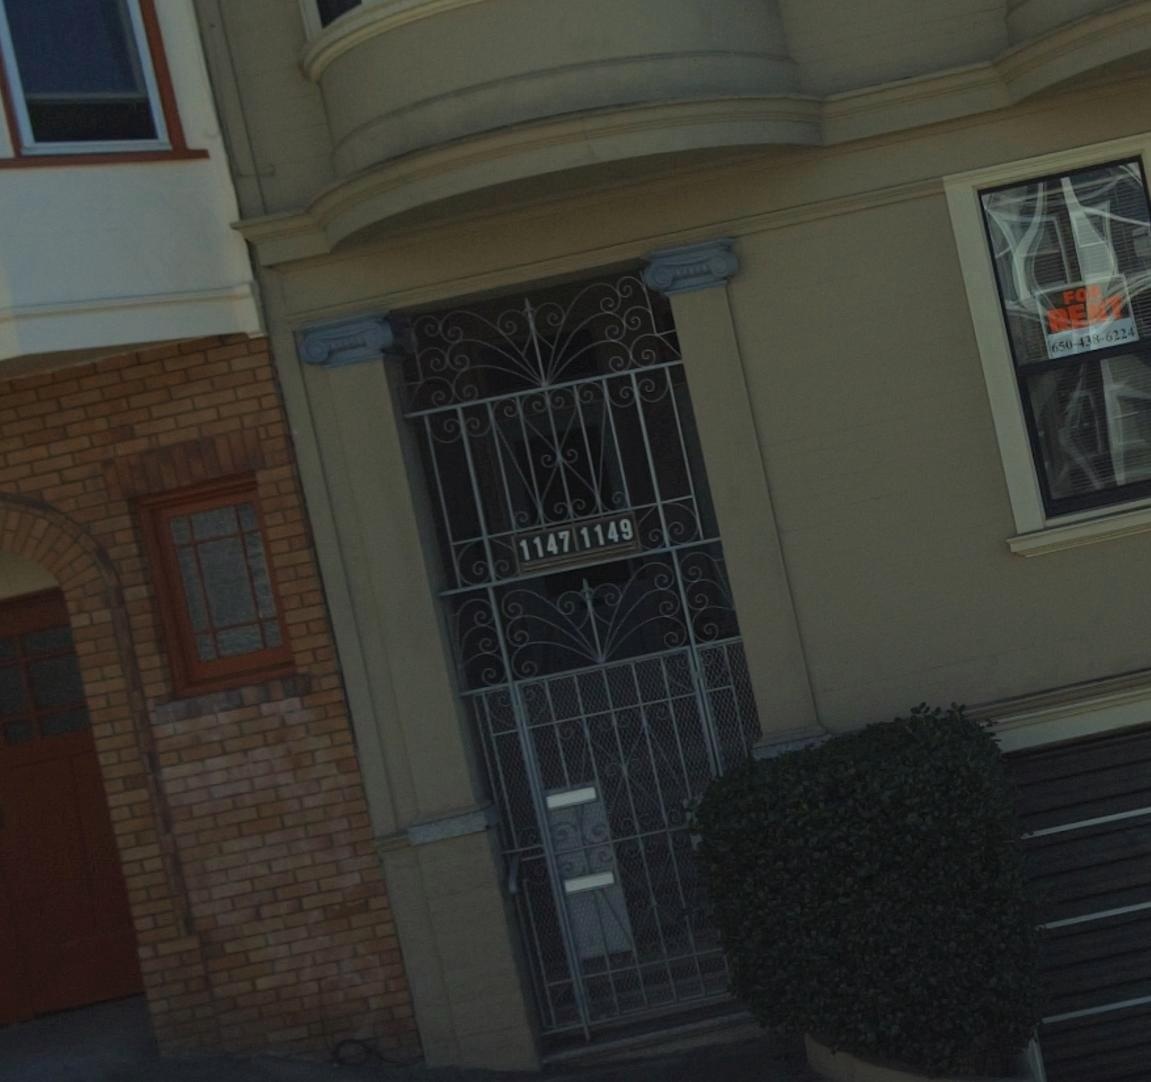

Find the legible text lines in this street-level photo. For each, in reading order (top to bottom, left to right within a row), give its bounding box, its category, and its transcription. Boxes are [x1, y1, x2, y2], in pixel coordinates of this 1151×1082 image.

[1061, 283, 1105, 306] None: FOR
[1044, 292, 1125, 337] None: RENT
[1048, 324, 1137, 355] None: 650-438-6224
[516, 528, 572, 564] StreetNumber: 1147
[577, 515, 636, 551] StreetNumber: 1149